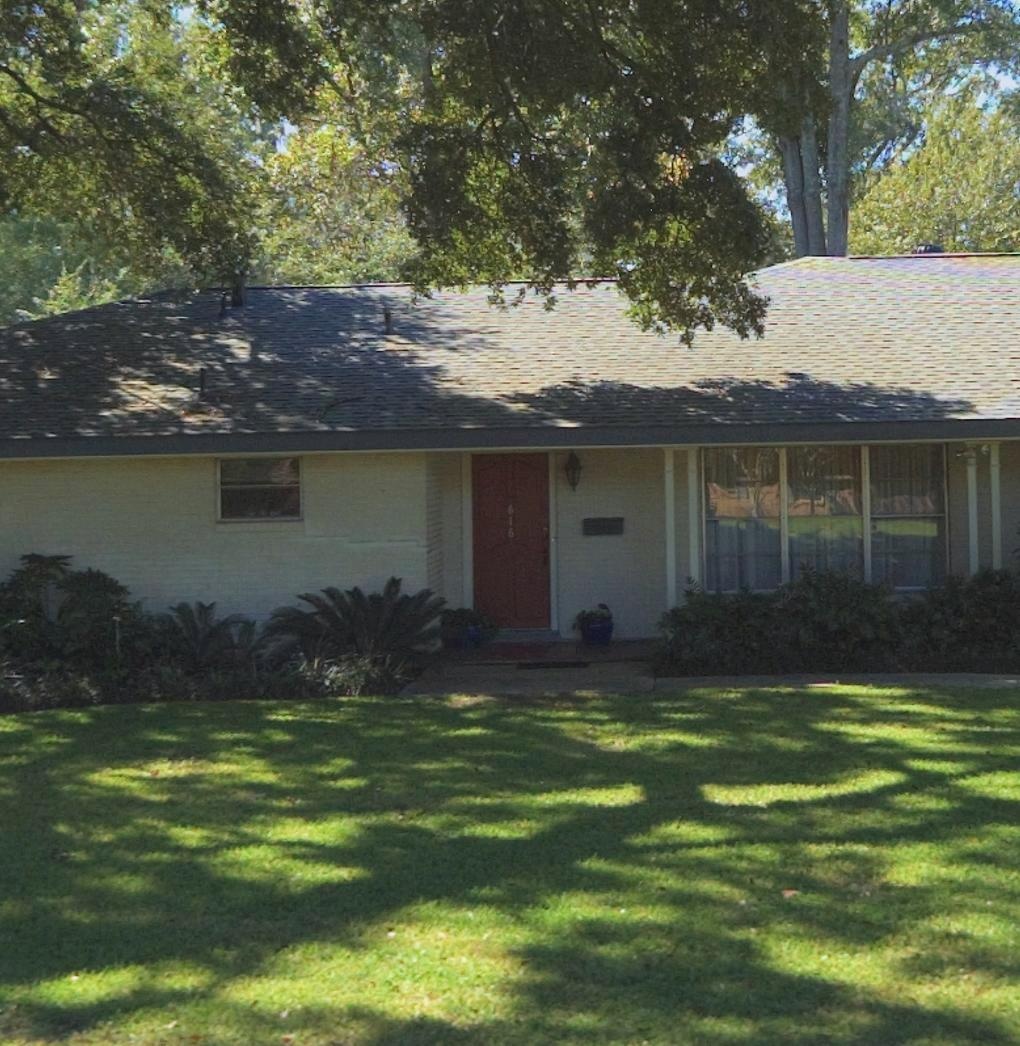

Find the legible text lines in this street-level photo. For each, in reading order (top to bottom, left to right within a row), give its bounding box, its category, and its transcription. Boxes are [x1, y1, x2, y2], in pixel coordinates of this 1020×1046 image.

[506, 501, 516, 540] StreetNumber: 616